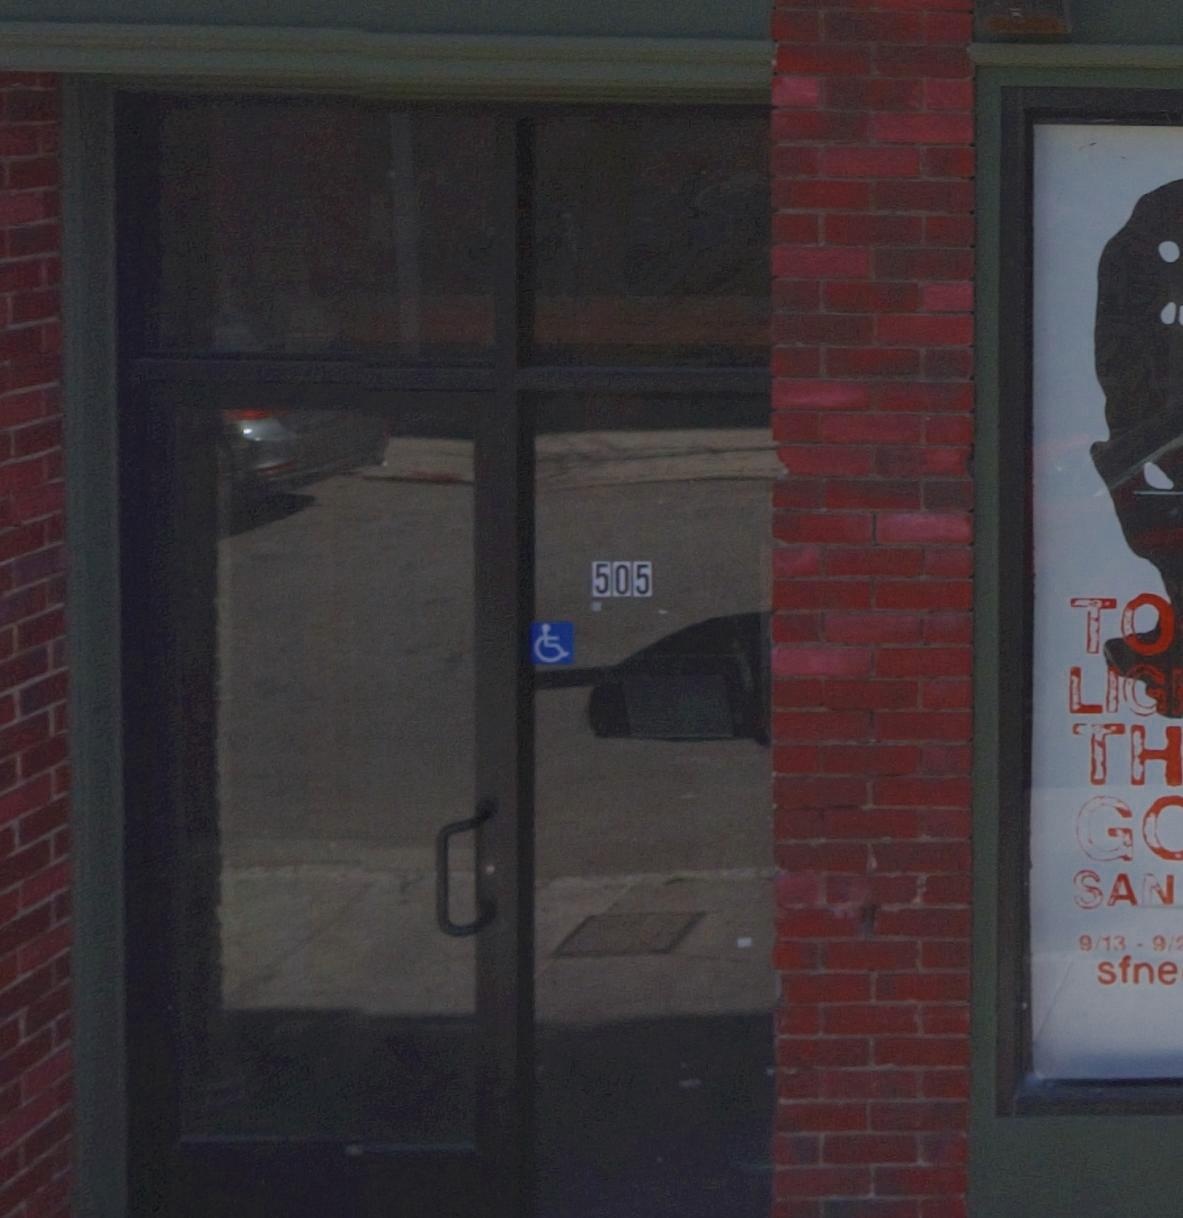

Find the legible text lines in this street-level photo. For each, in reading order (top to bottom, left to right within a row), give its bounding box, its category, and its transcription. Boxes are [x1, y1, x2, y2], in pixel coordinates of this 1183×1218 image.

[594, 561, 652, 596] StreetNumber: 505
[1066, 591, 1177, 658] None: TO
[1068, 661, 1169, 717] None: LIG
[1069, 722, 1182, 788] None: TH
[1075, 794, 1137, 865] None: G
[1070, 868, 1178, 911] None: SAN
[1078, 933, 1170, 953] None: 9/13 - 9
[1095, 953, 1181, 987] None: sfne